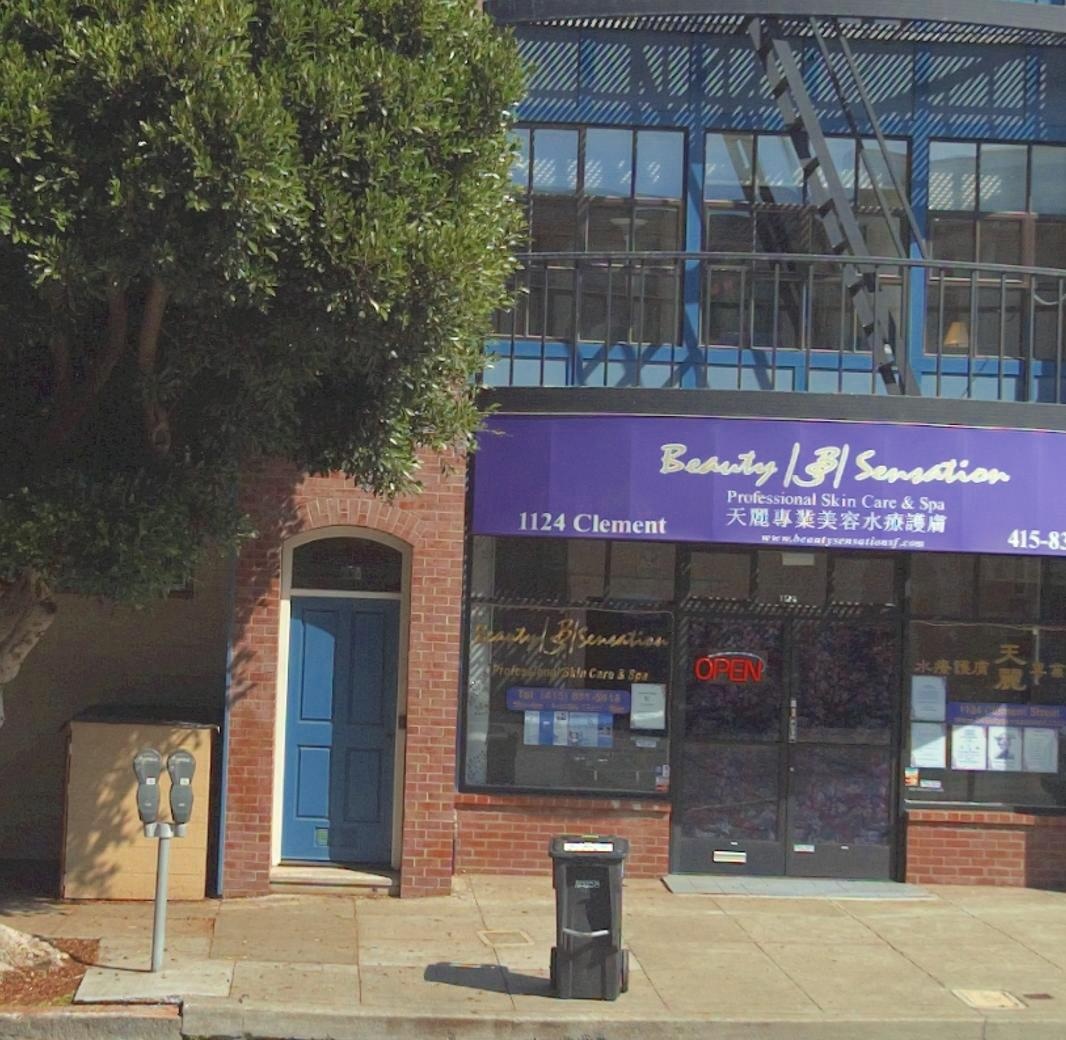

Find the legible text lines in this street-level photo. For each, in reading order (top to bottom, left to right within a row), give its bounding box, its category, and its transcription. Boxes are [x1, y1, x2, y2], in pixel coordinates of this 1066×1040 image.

[658, 441, 779, 488] BusinessName: Beauty
[853, 448, 1010, 487] BusinessName: Sensation
[726, 487, 949, 515] None: Professional Skin Care & Spa
[517, 509, 566, 534] StreetNumber: 1124
[571, 510, 669, 534] StreetName: Clement
[759, 531, 927, 550] None: www.beautysensationsf.com
[1006, 528, 1062, 552] None: 415-8
[777, 592, 798, 603] None: 1124
[492, 660, 651, 684] None: Professional Skin & Spa
[693, 654, 764, 684] None: OPEN
[517, 687, 624, 706] None: Tel (415)834-5*18